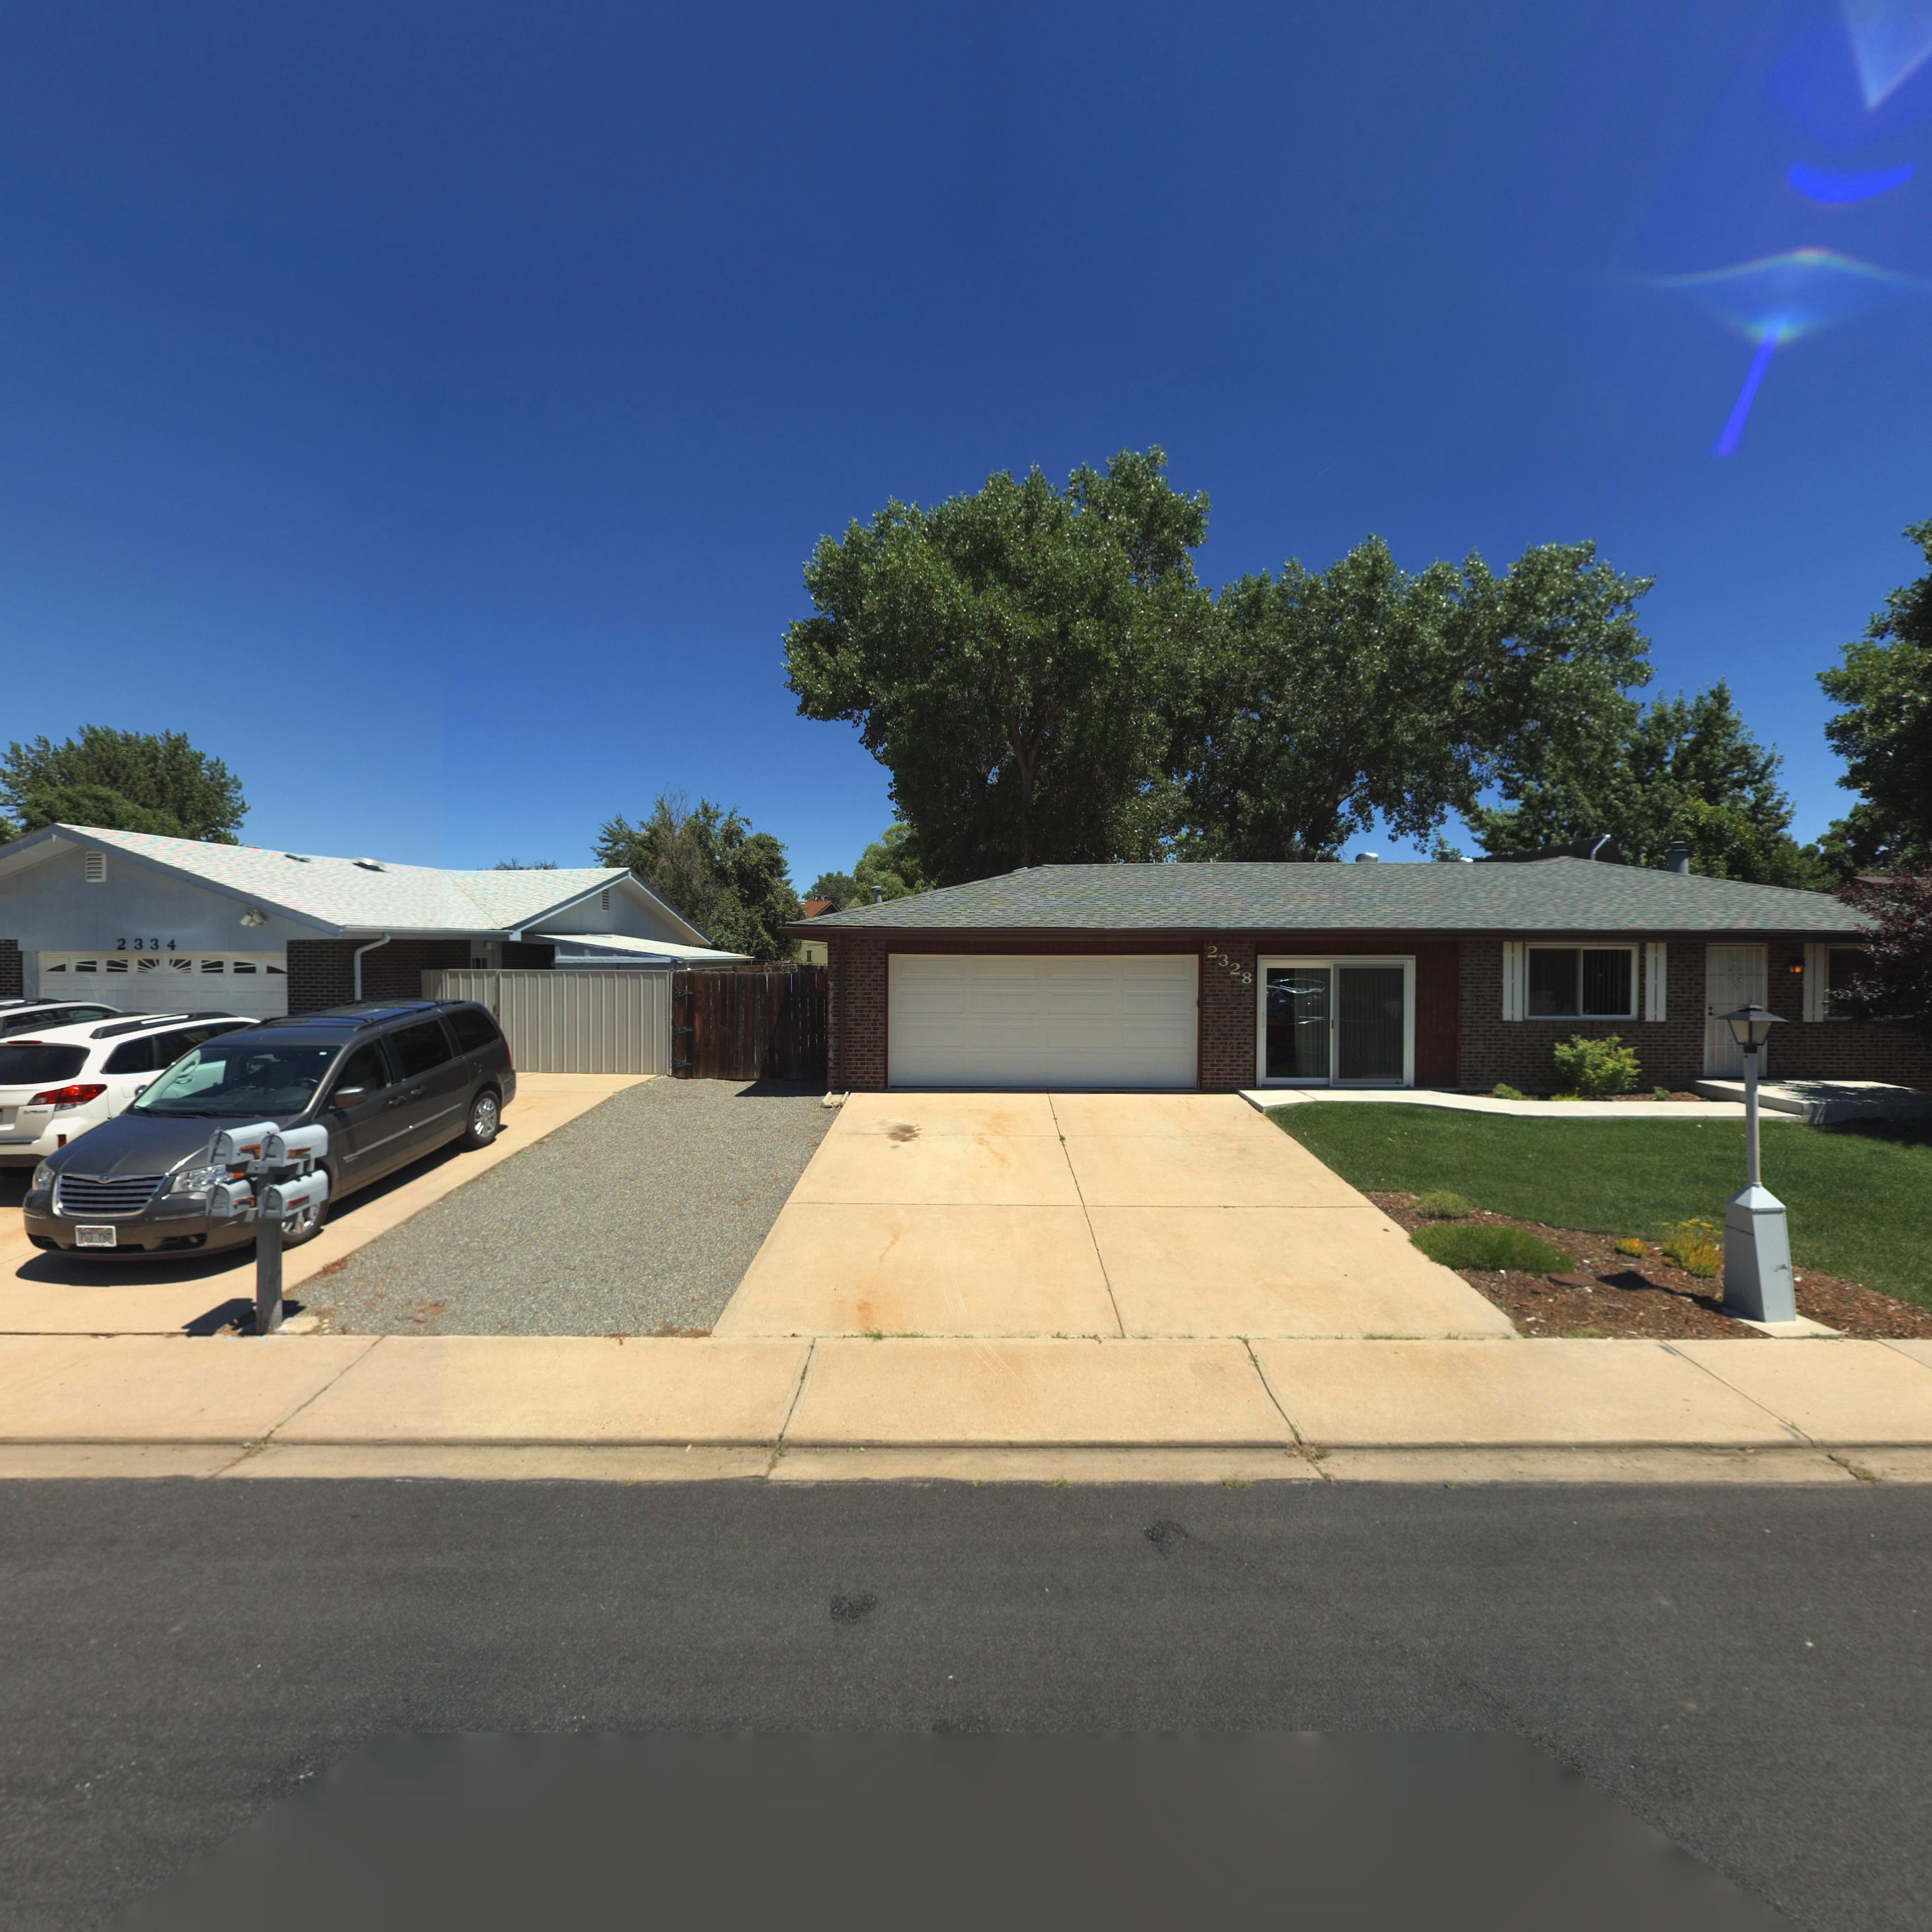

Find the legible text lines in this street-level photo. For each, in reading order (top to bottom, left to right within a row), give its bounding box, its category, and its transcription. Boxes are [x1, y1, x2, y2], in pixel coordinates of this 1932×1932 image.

[116, 938, 177, 951] StreetNumber: 2334
[1206, 945, 1252, 985] StreetNumber: 2328